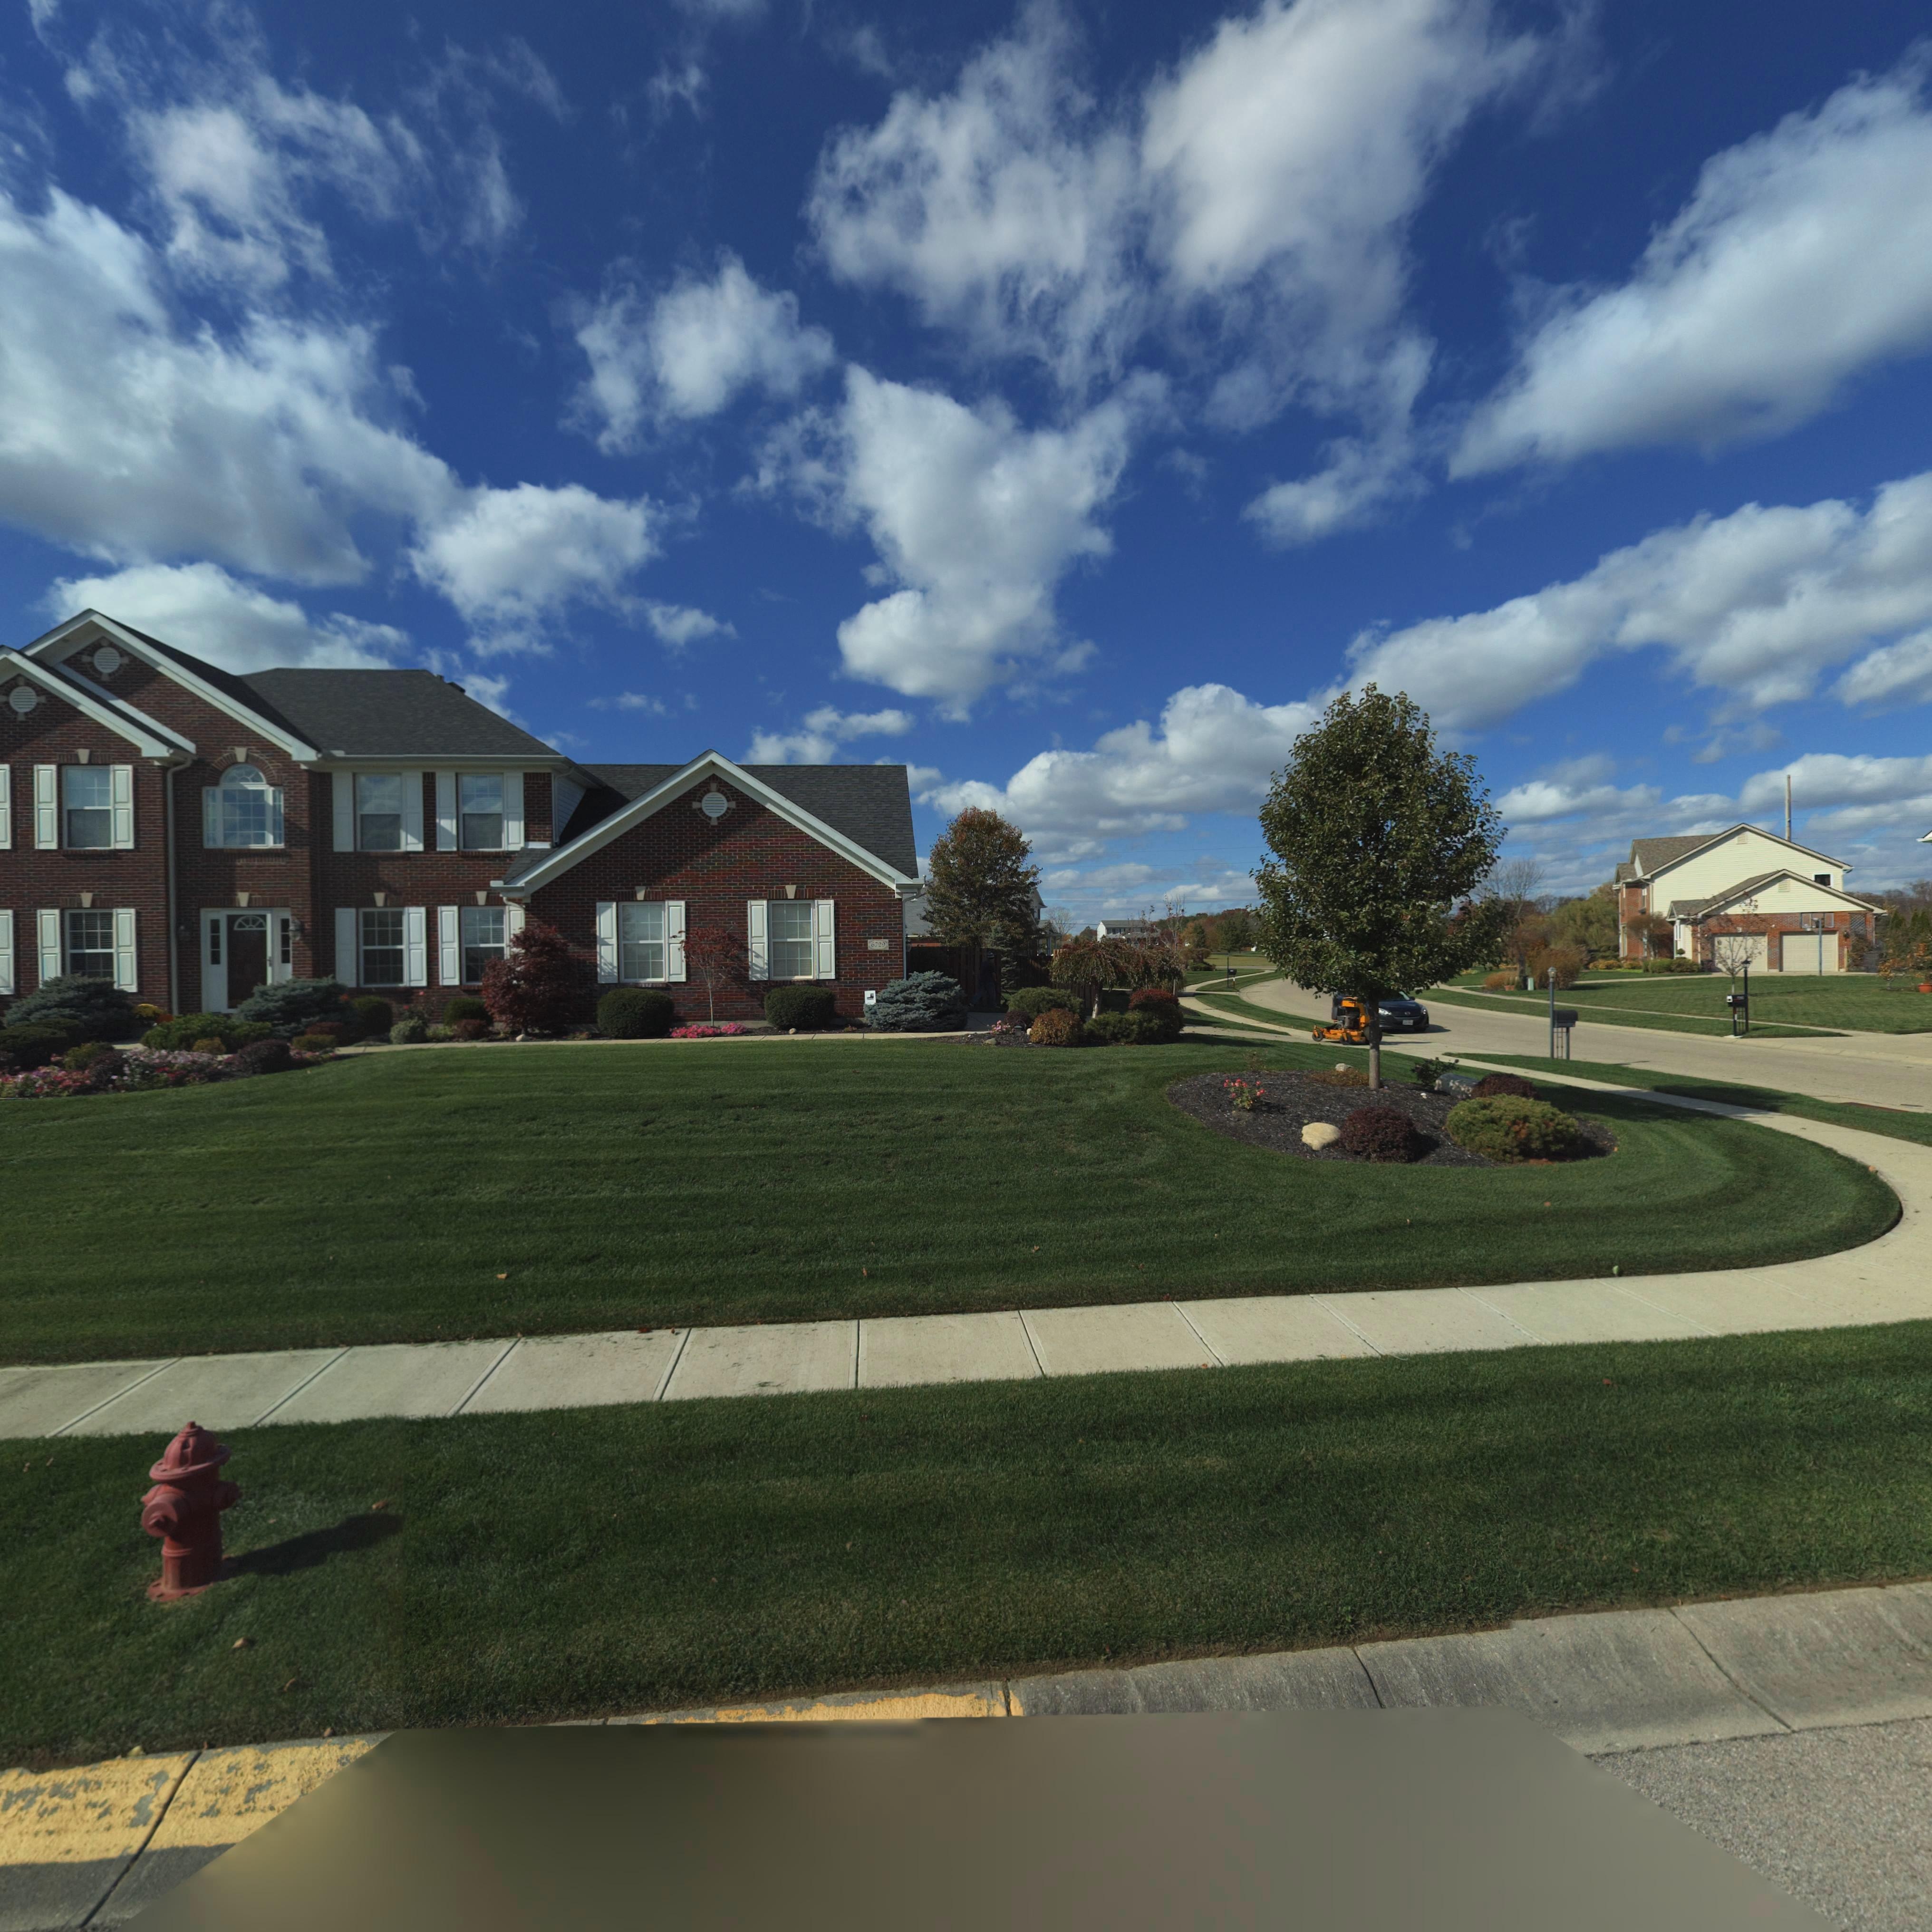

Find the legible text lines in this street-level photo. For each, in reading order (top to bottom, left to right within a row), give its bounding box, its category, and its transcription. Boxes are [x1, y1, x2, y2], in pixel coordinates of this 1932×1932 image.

[870, 941, 887, 948] StreetNumber: 6729